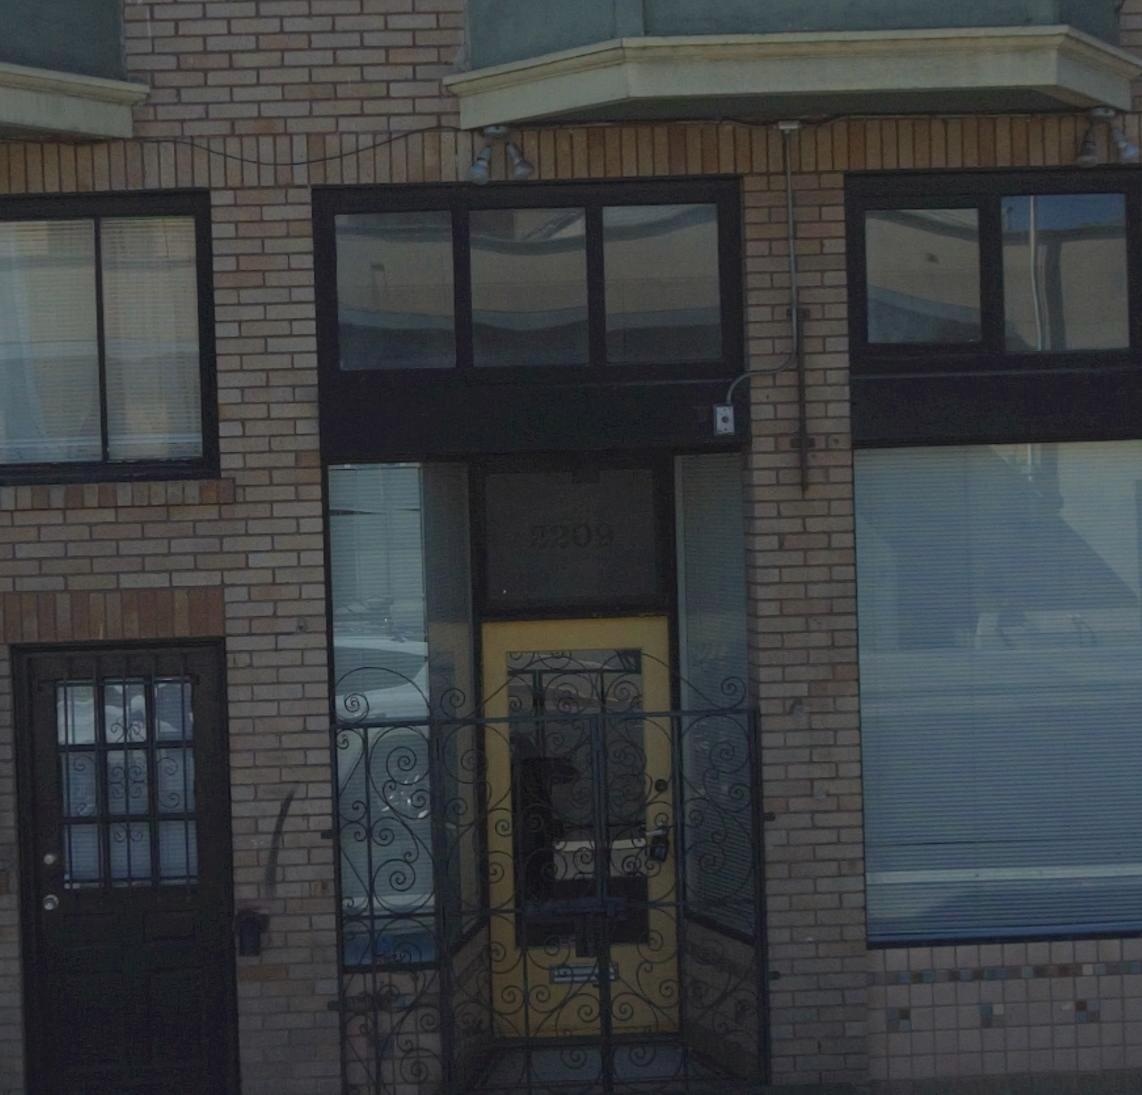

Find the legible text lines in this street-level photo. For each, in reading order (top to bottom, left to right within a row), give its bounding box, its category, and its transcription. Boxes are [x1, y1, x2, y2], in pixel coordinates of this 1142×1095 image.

[526, 520, 616, 554] StreetNumber: 2209